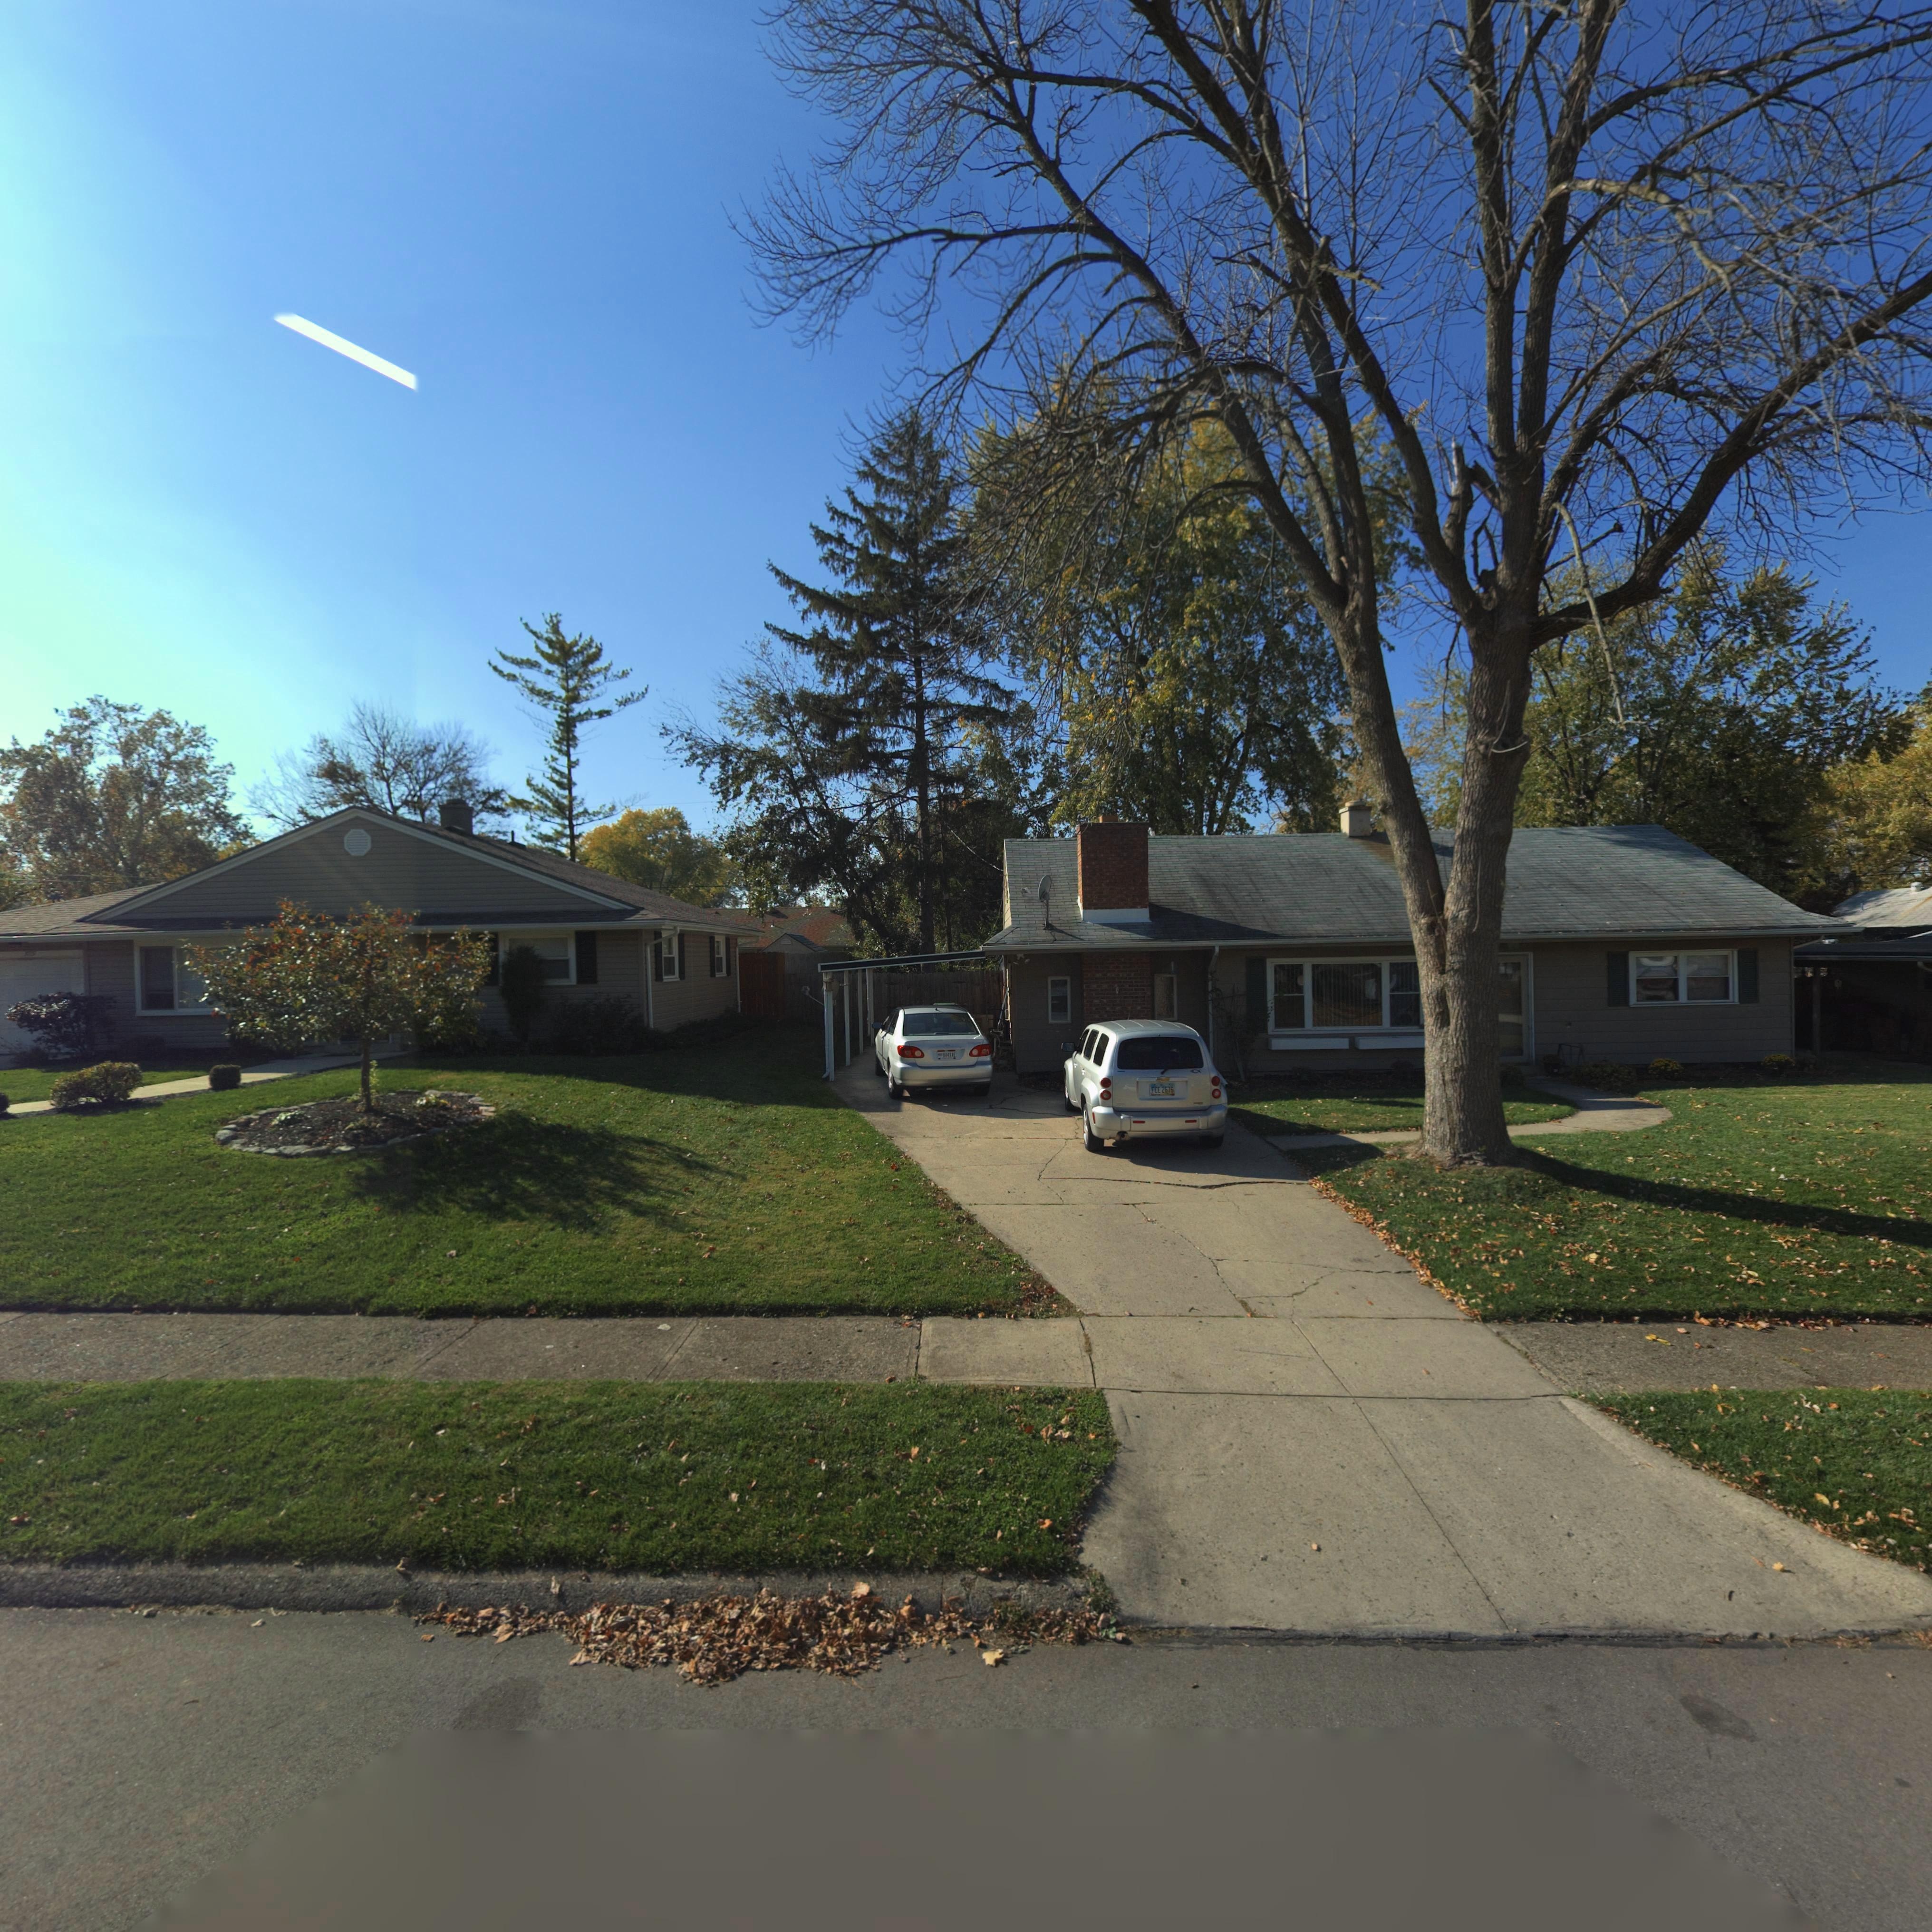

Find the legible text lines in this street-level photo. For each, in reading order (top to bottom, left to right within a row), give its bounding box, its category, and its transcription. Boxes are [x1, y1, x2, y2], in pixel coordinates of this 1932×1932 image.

[942, 1053, 949, 1058] None: 844
[1150, 1086, 1174, 1093] None: FEE*2676